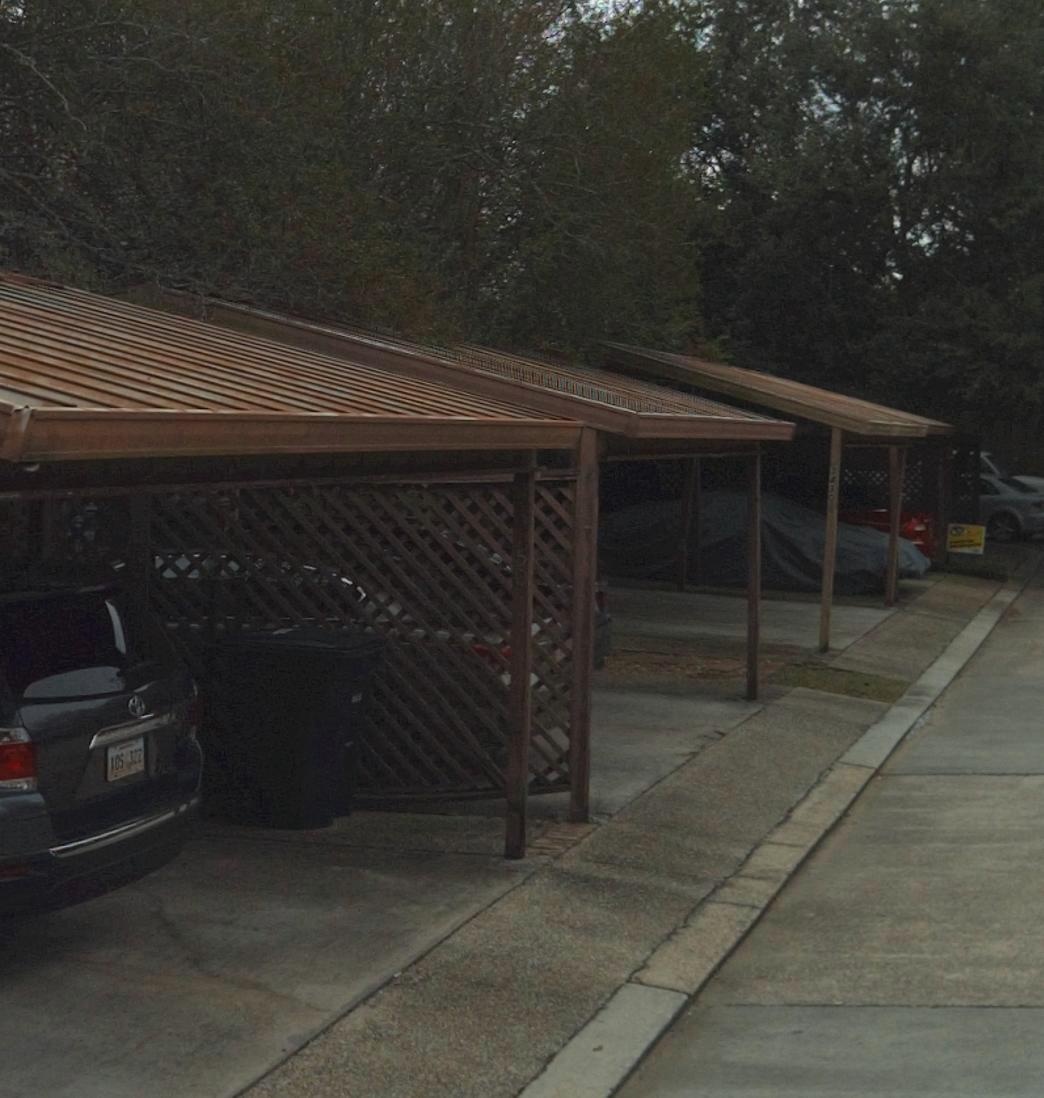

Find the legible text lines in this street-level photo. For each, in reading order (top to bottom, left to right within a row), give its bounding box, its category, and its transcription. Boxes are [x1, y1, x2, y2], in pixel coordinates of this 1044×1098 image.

[514, 503, 529, 589] StreetNumber: 3450